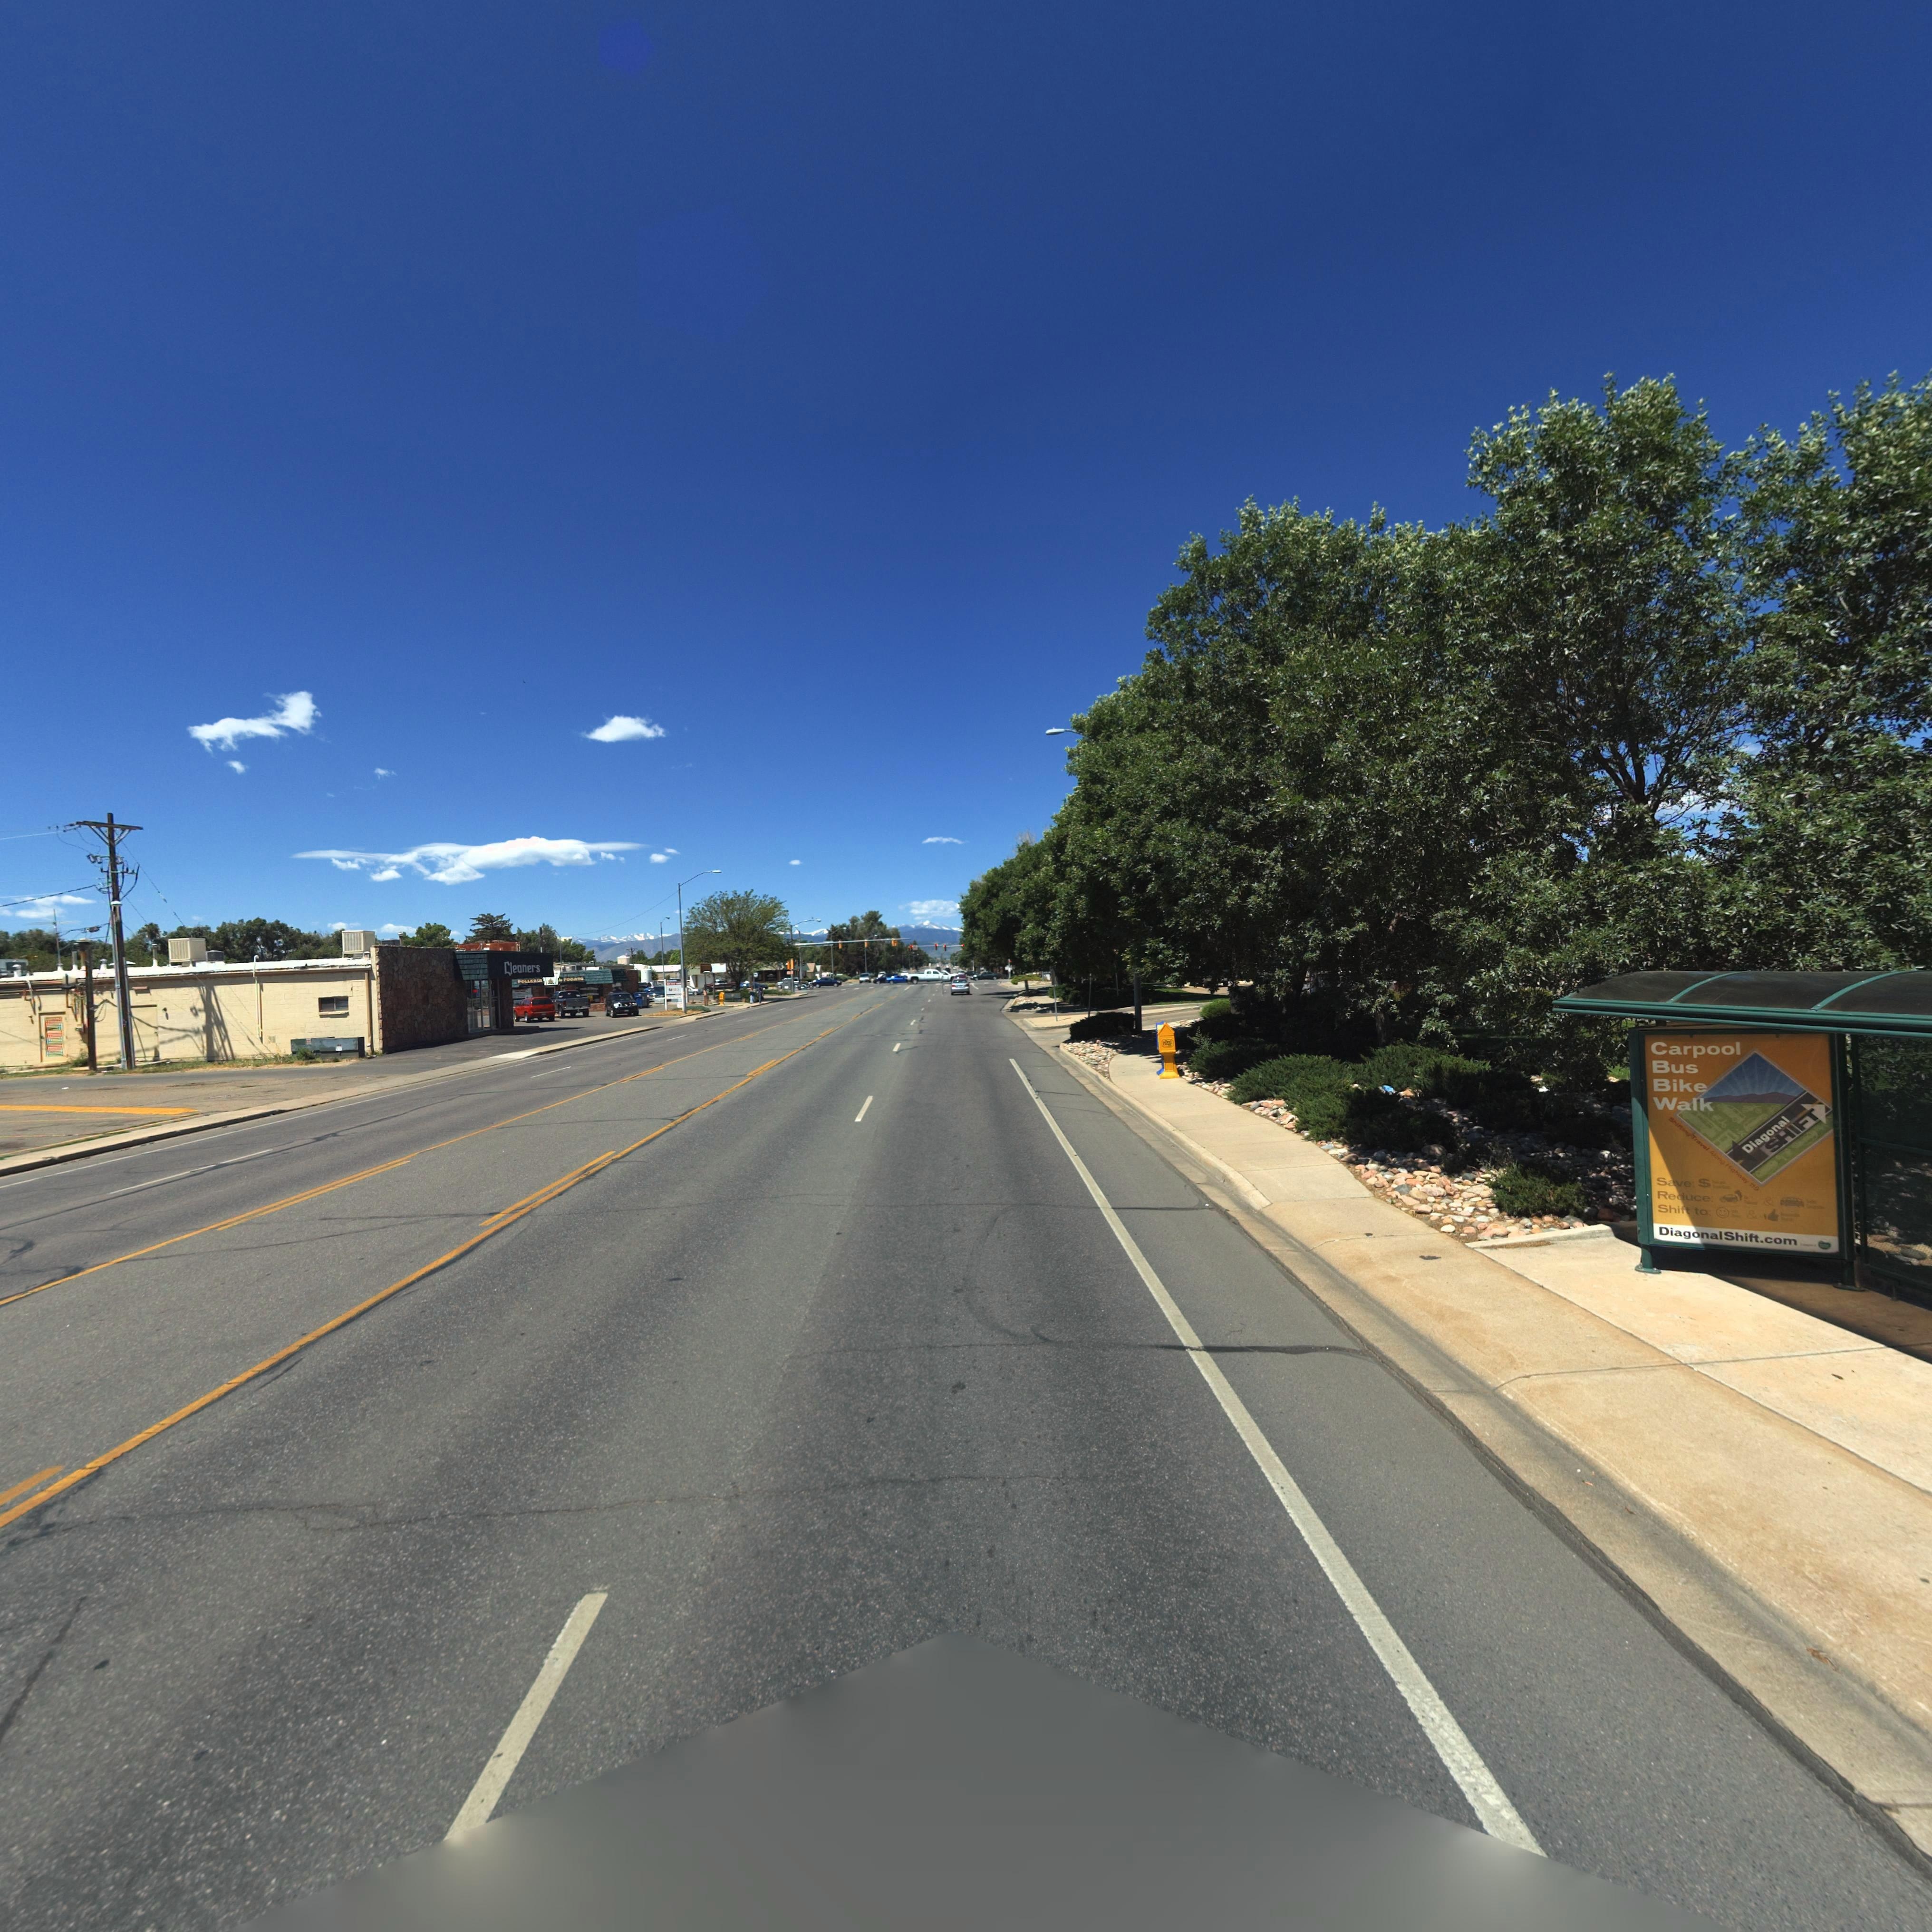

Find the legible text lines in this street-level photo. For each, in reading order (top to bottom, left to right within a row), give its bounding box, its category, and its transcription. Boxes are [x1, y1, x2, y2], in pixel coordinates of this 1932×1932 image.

[517, 978, 543, 984] BusinessName: POLL*A**
[562, 976, 584, 982] BusinessName: FOGATA